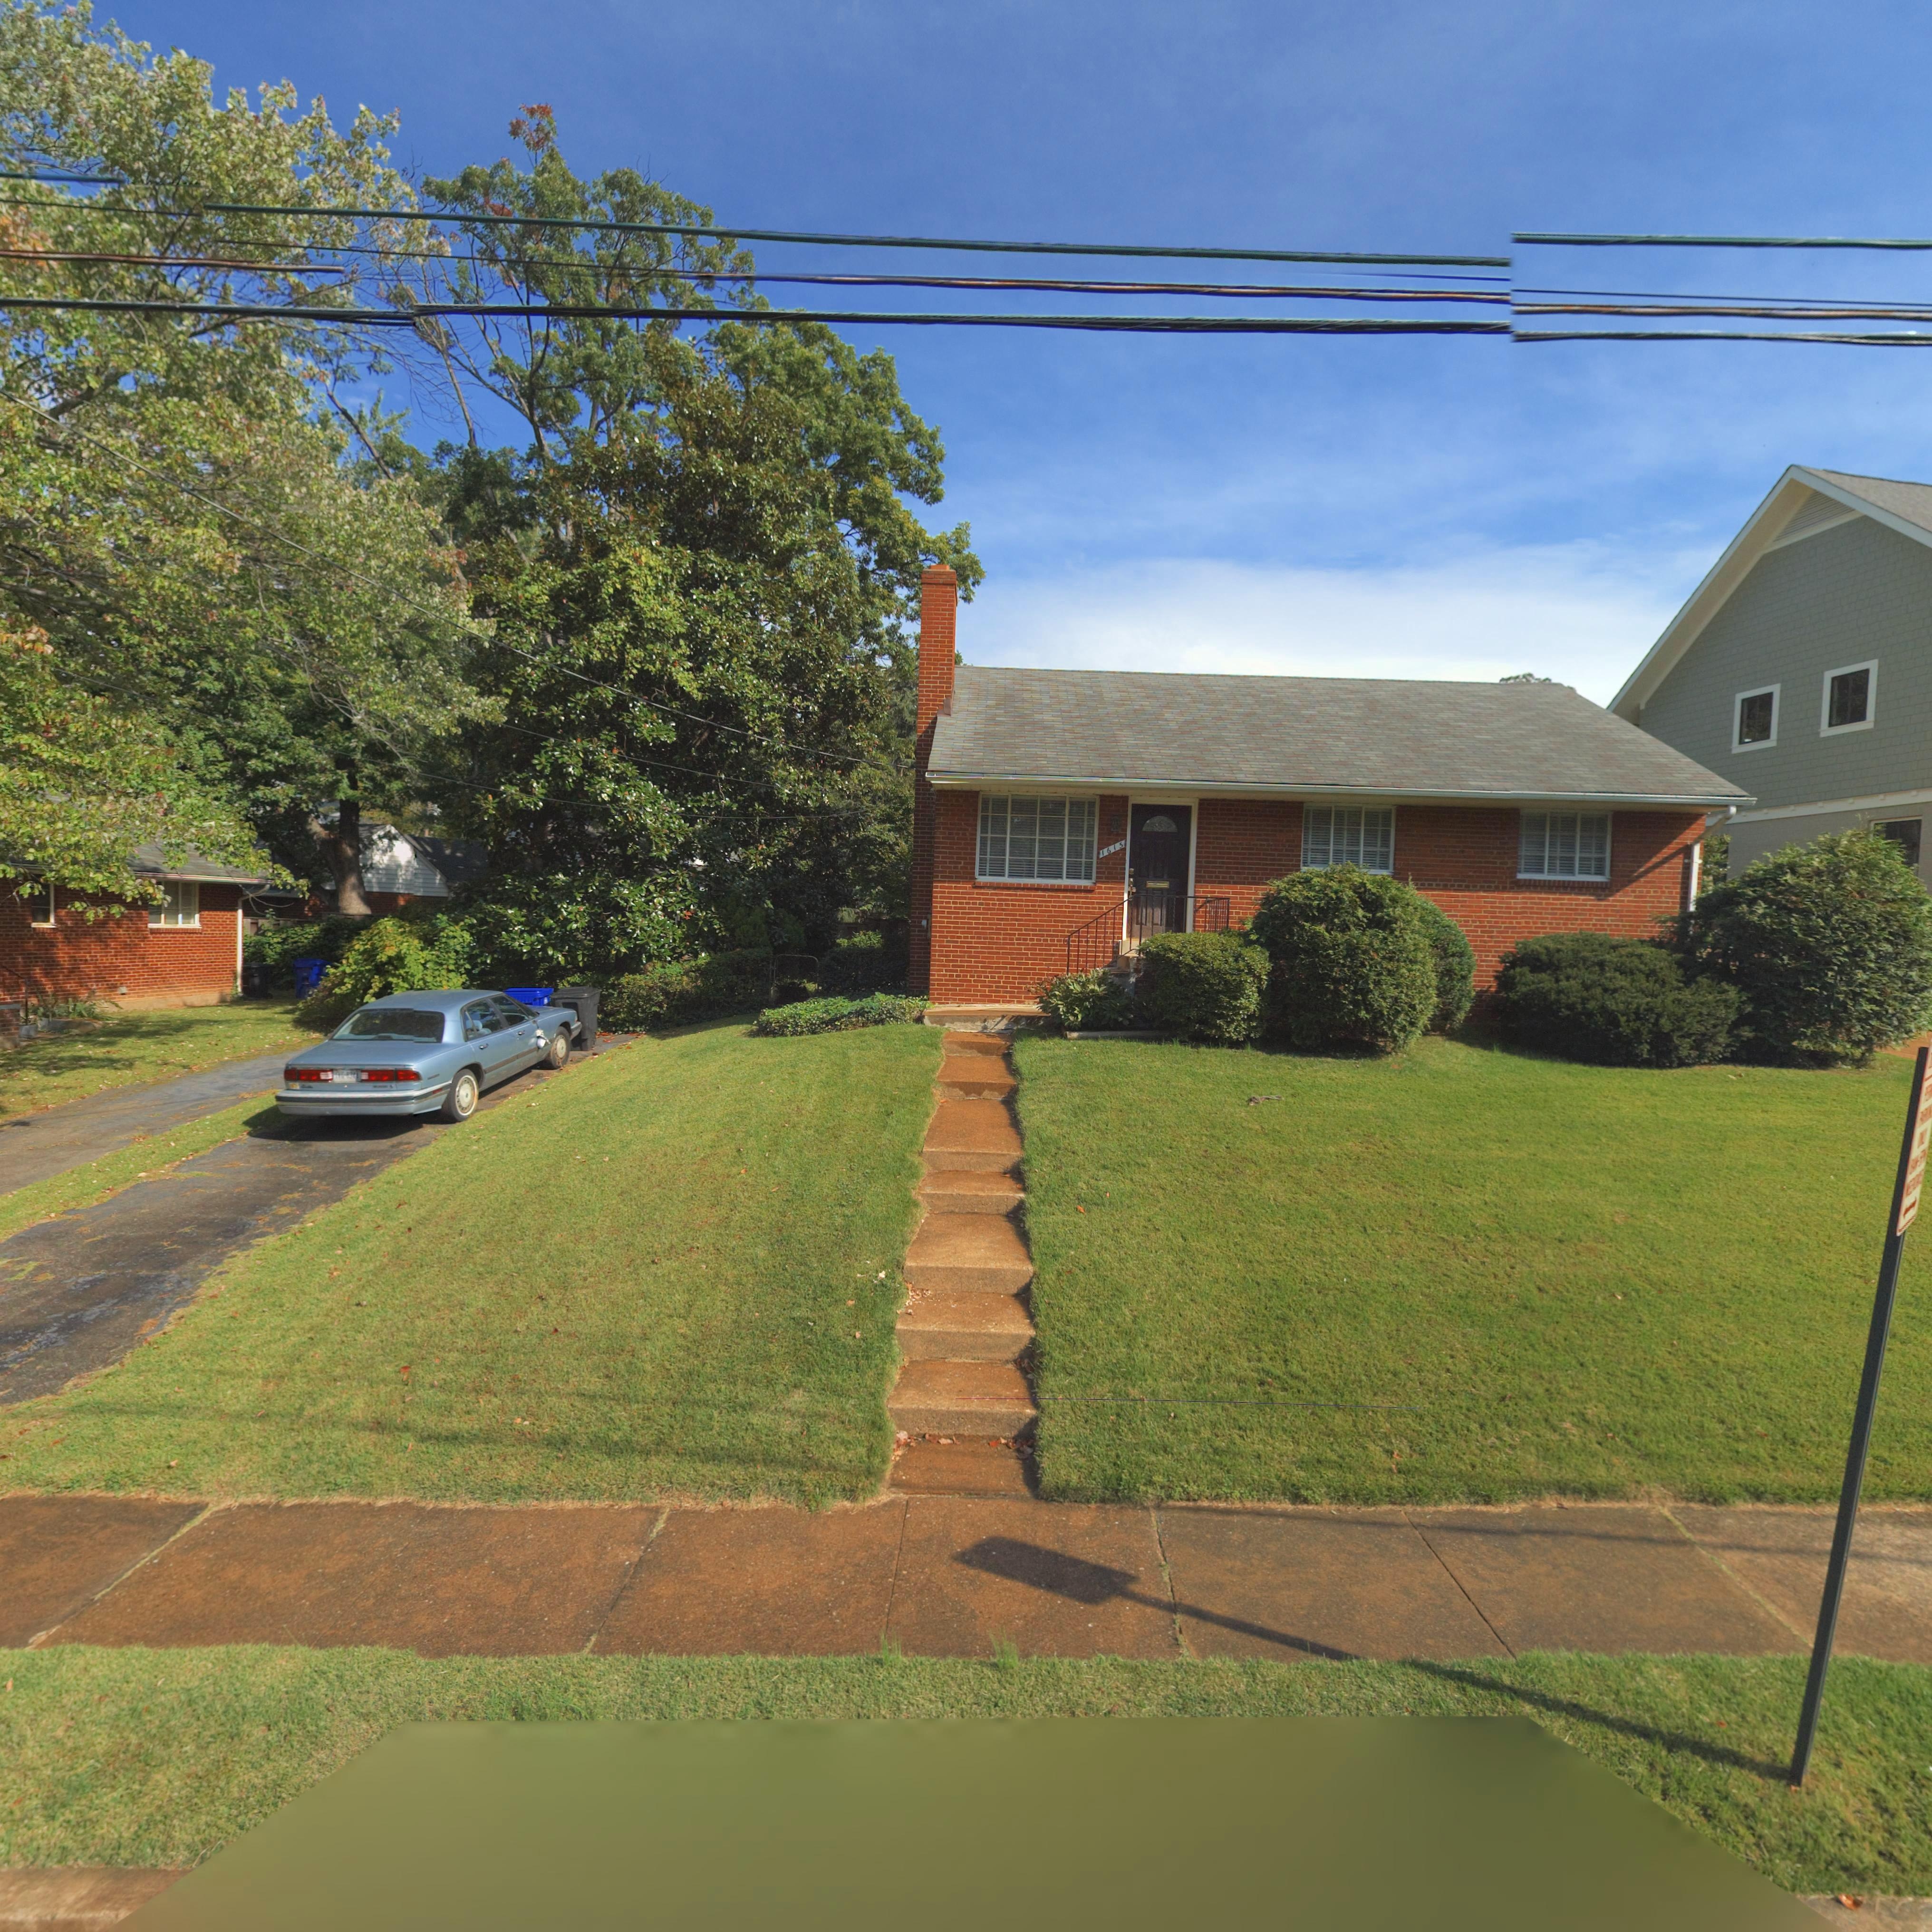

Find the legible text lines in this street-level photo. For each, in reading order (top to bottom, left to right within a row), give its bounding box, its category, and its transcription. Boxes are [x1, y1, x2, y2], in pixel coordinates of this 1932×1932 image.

[1101, 840, 1124, 858] StreetNumber: 1615